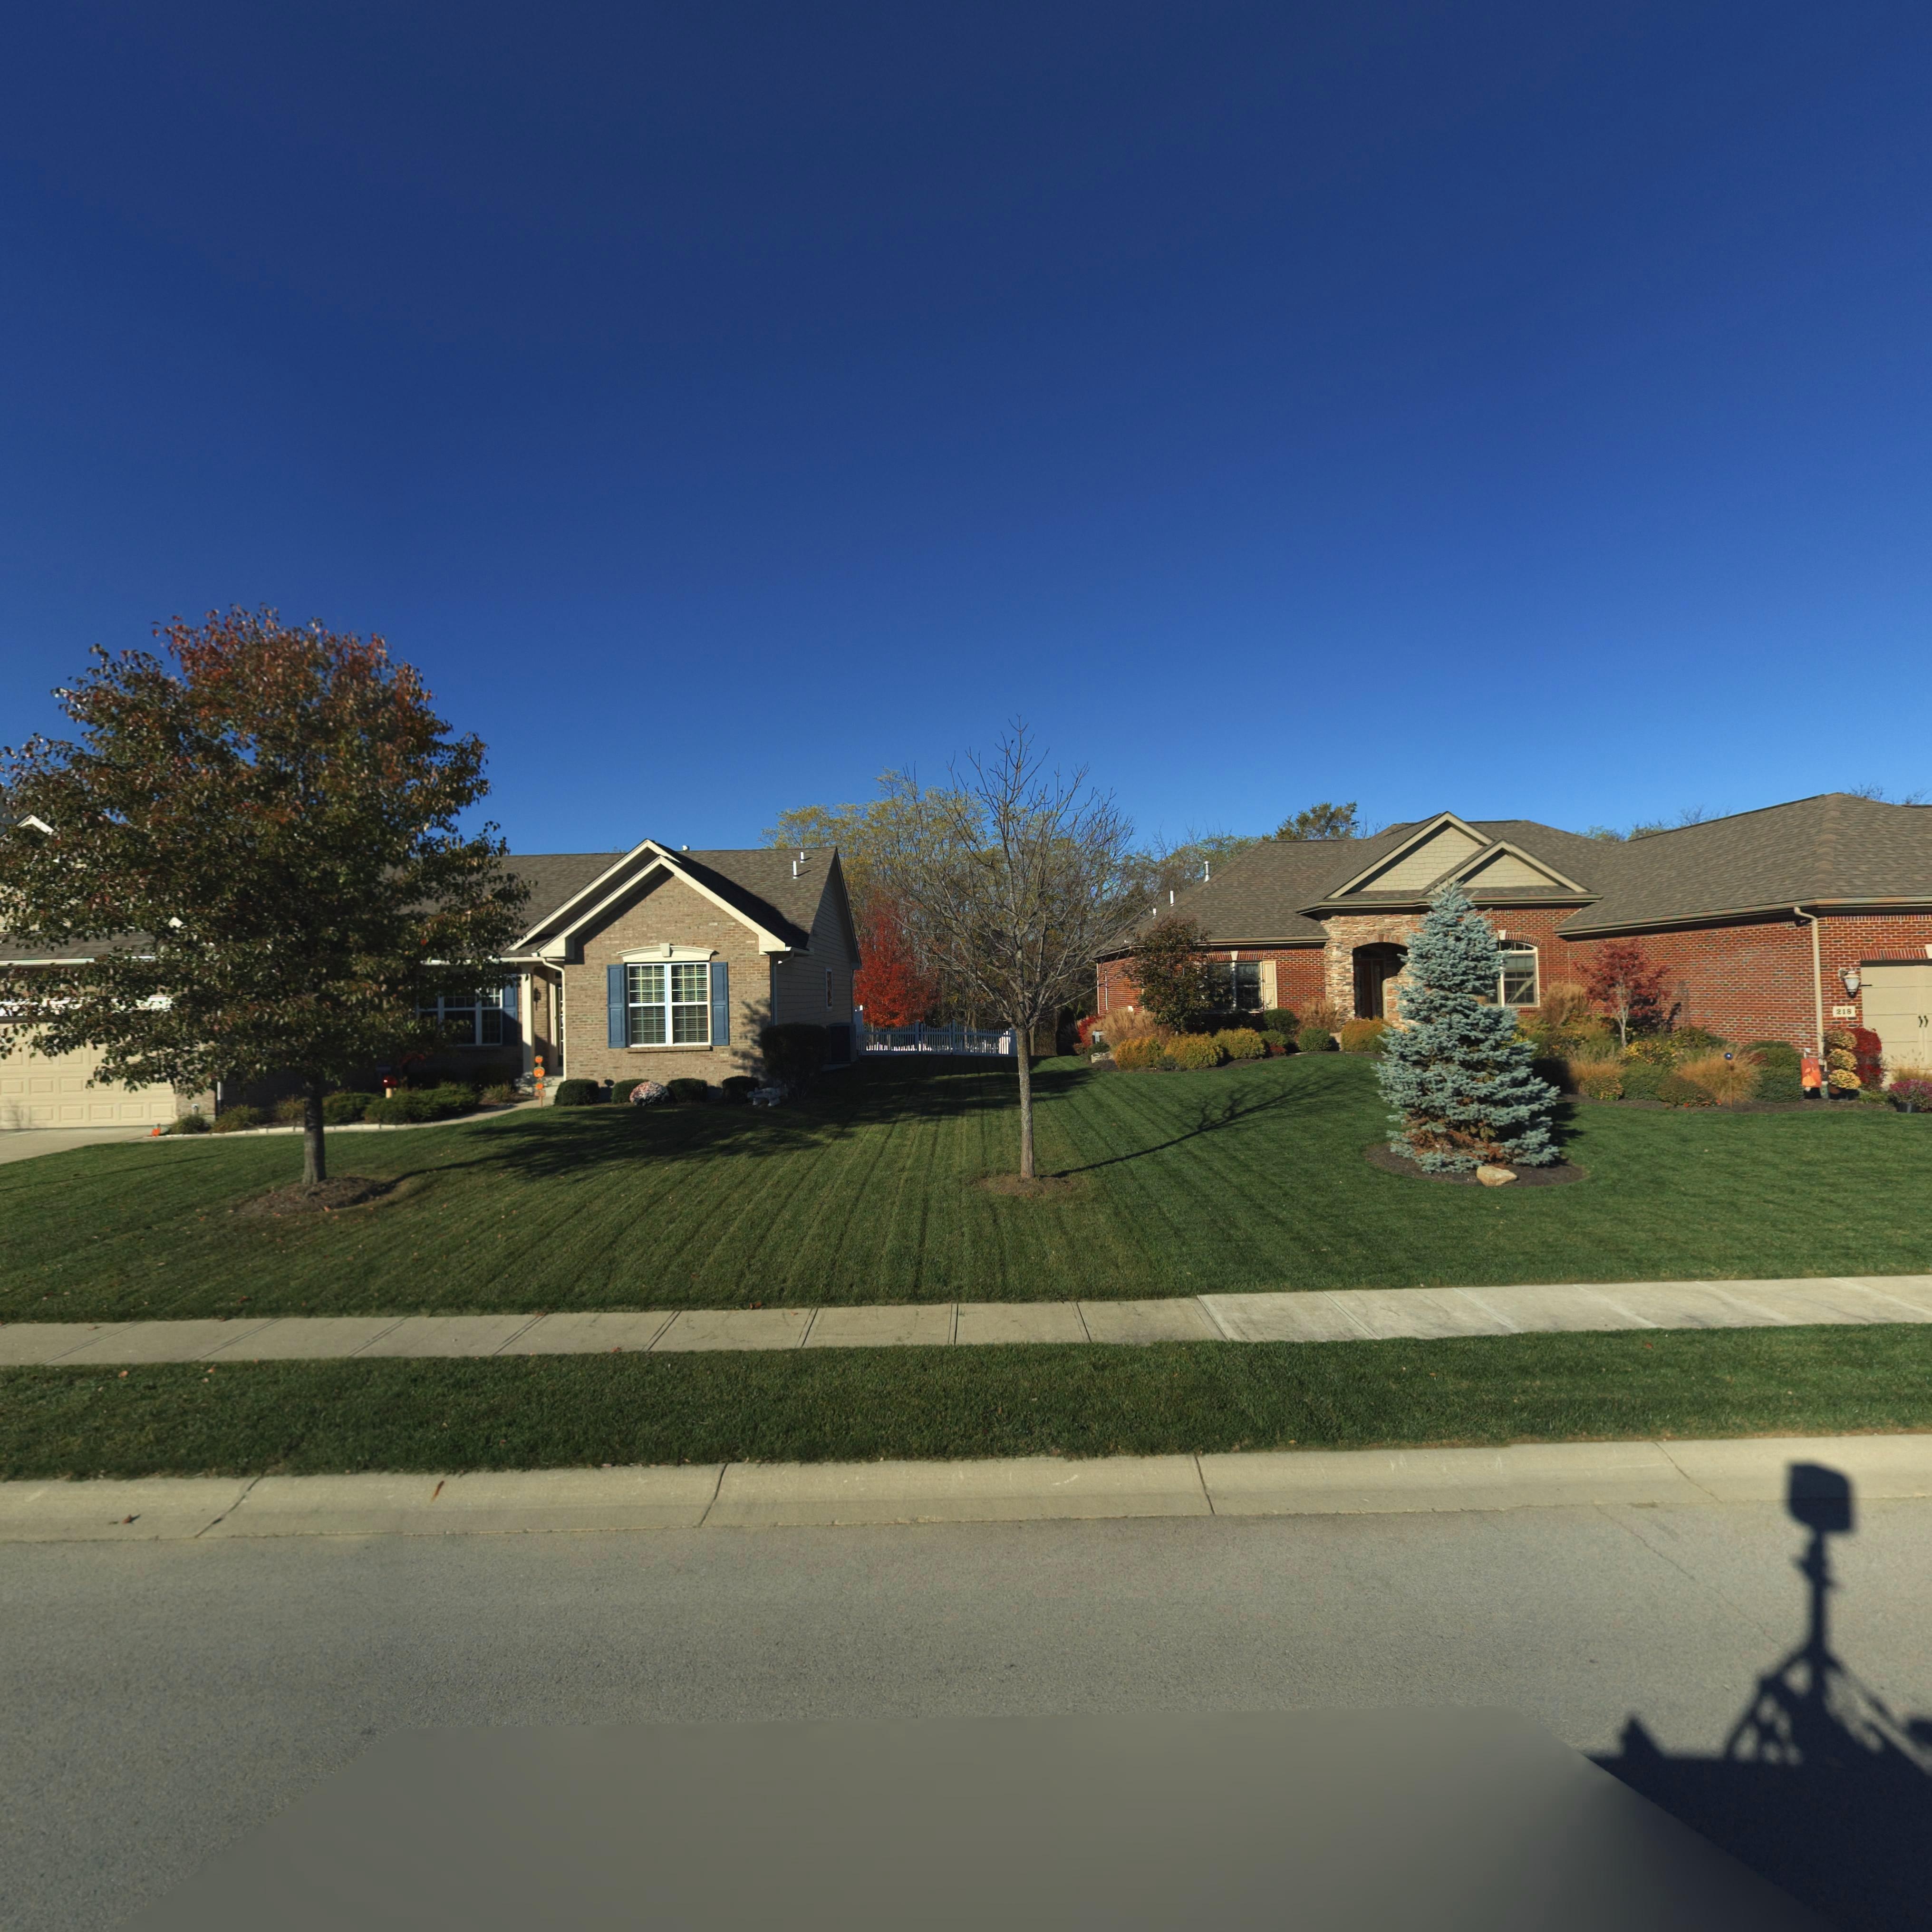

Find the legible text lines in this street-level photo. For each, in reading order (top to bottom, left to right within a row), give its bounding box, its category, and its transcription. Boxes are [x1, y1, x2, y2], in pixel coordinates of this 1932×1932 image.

[1835, 1008, 1853, 1015] StreetNumber: 218